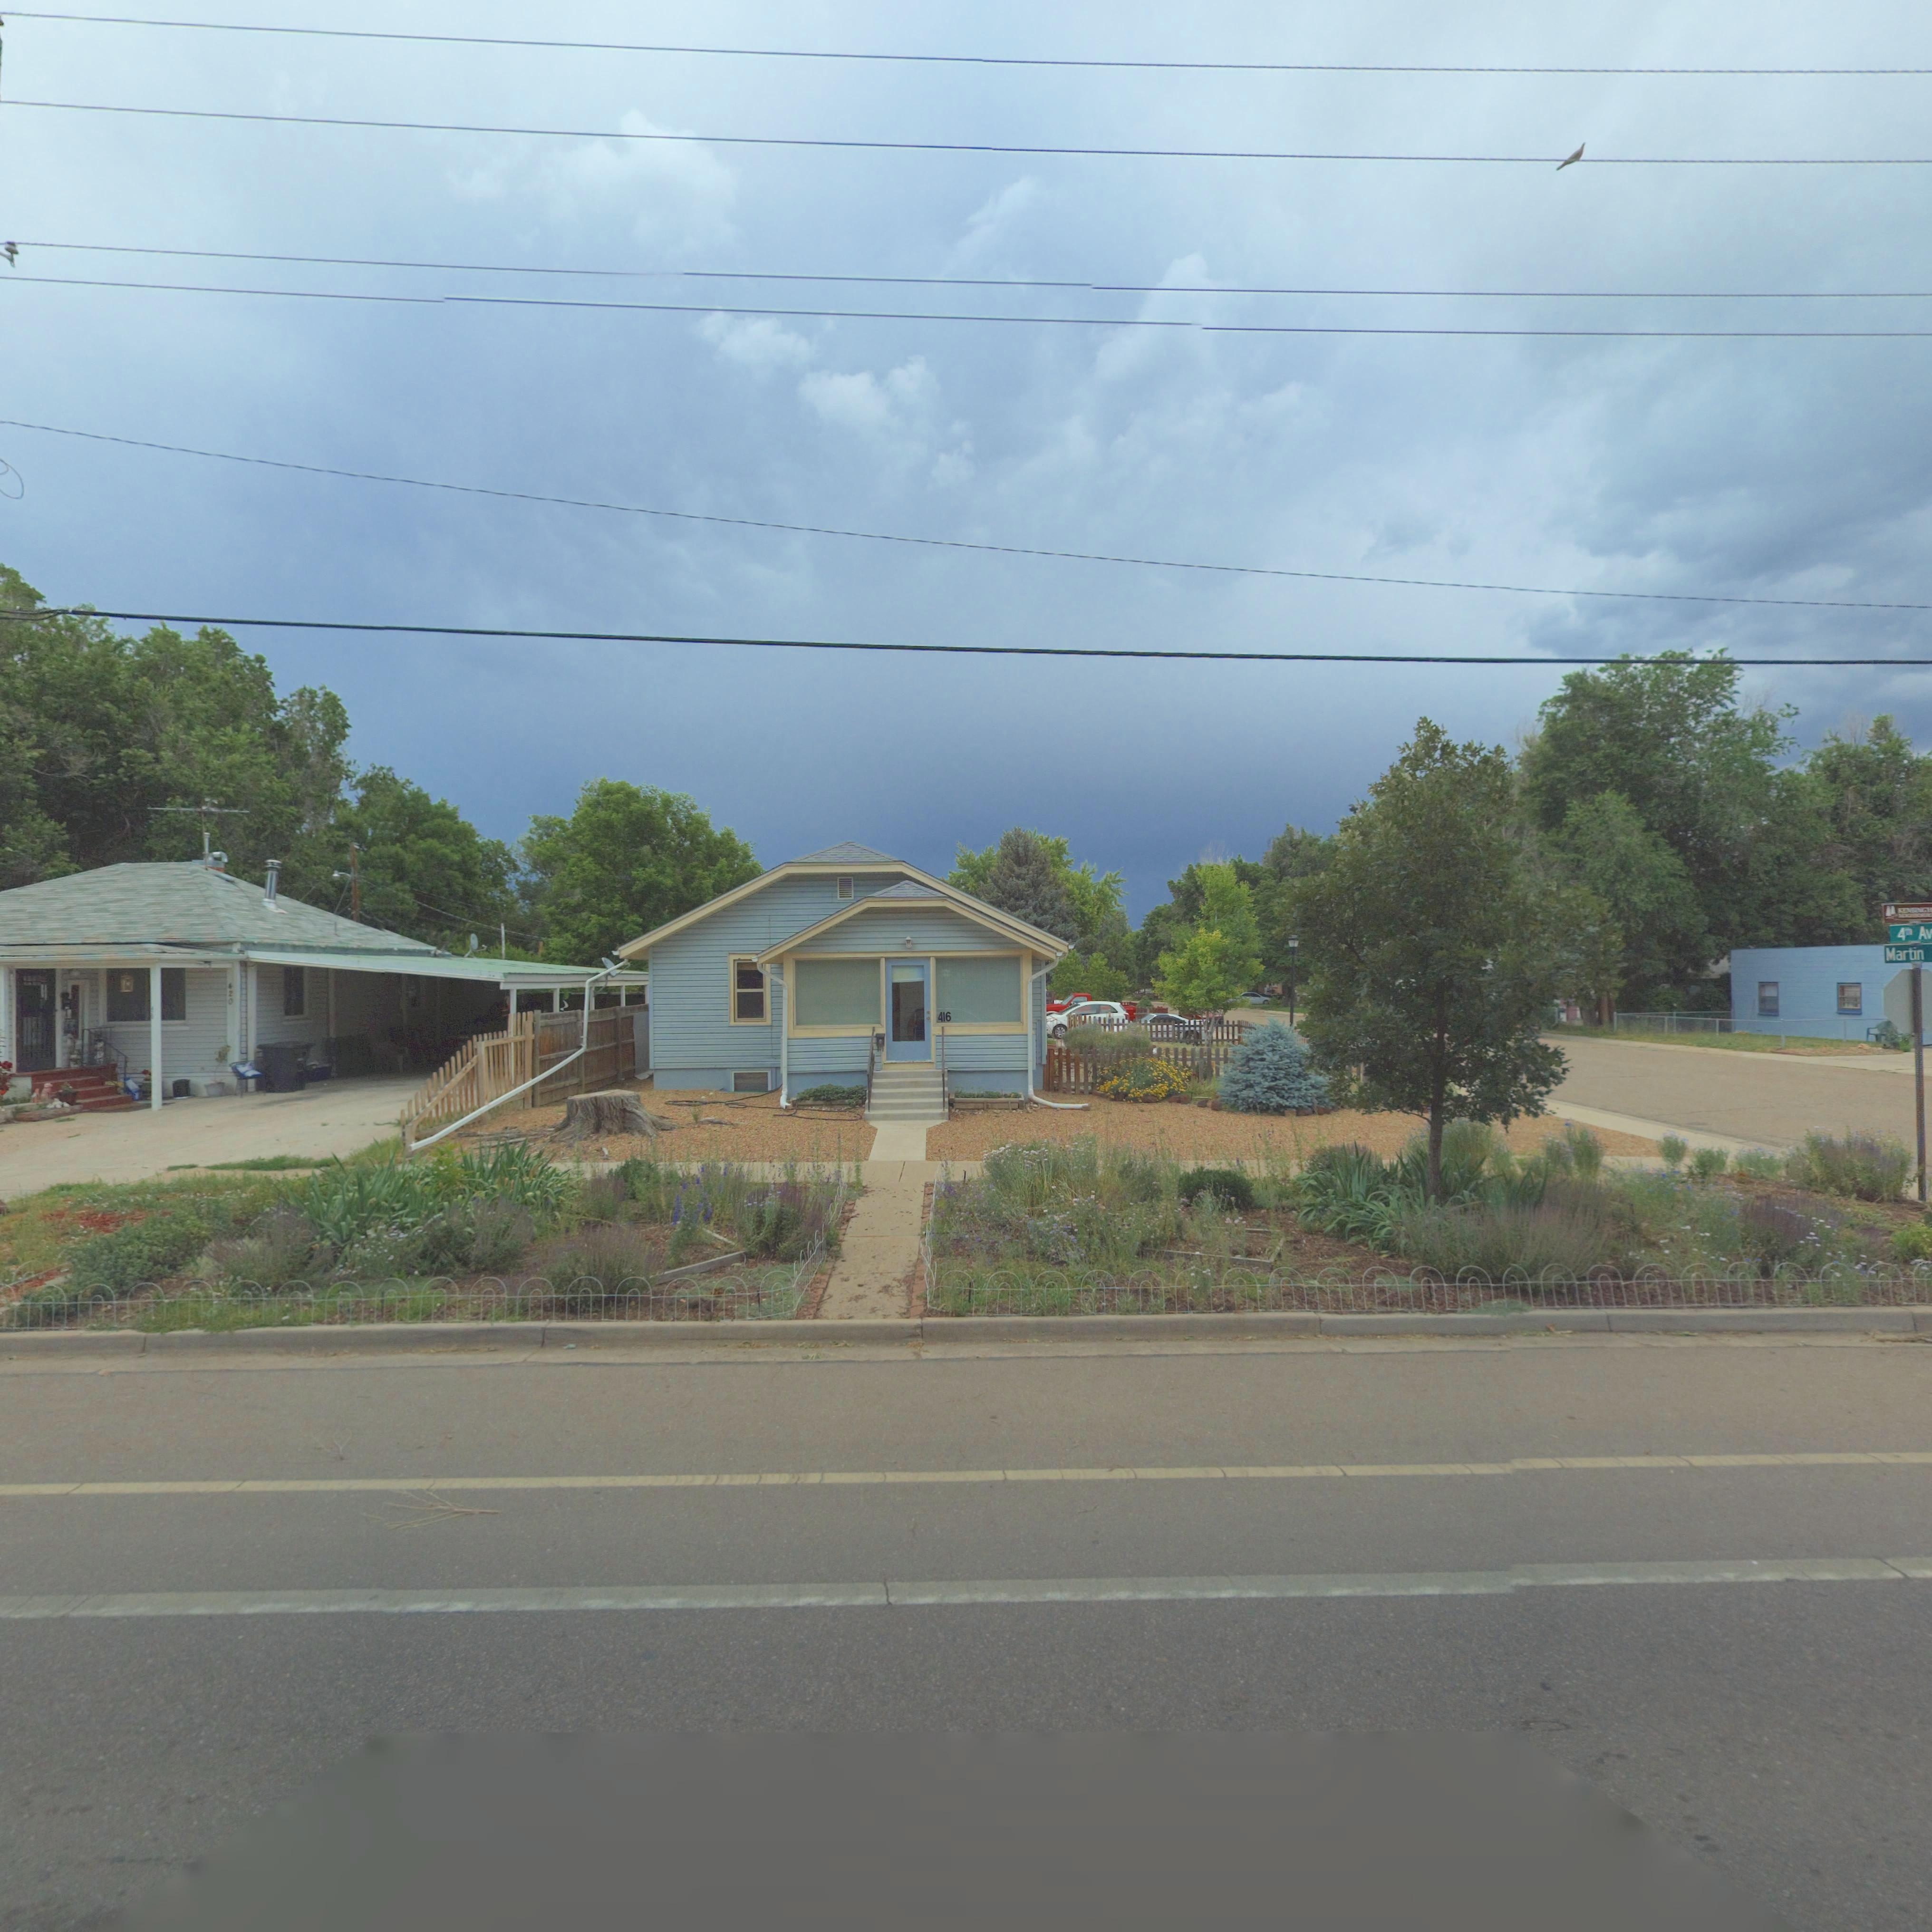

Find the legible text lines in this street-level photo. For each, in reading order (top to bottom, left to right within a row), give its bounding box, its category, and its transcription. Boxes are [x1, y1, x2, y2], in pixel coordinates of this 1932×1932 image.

[1896, 926, 1932, 941] StreetName: 4** Av
[1885, 947, 1924, 961] StreetName: Martin
[228, 982, 233, 1005] StreetNumber: 420
[937, 1011, 951, 1022] StreetNumber: 416